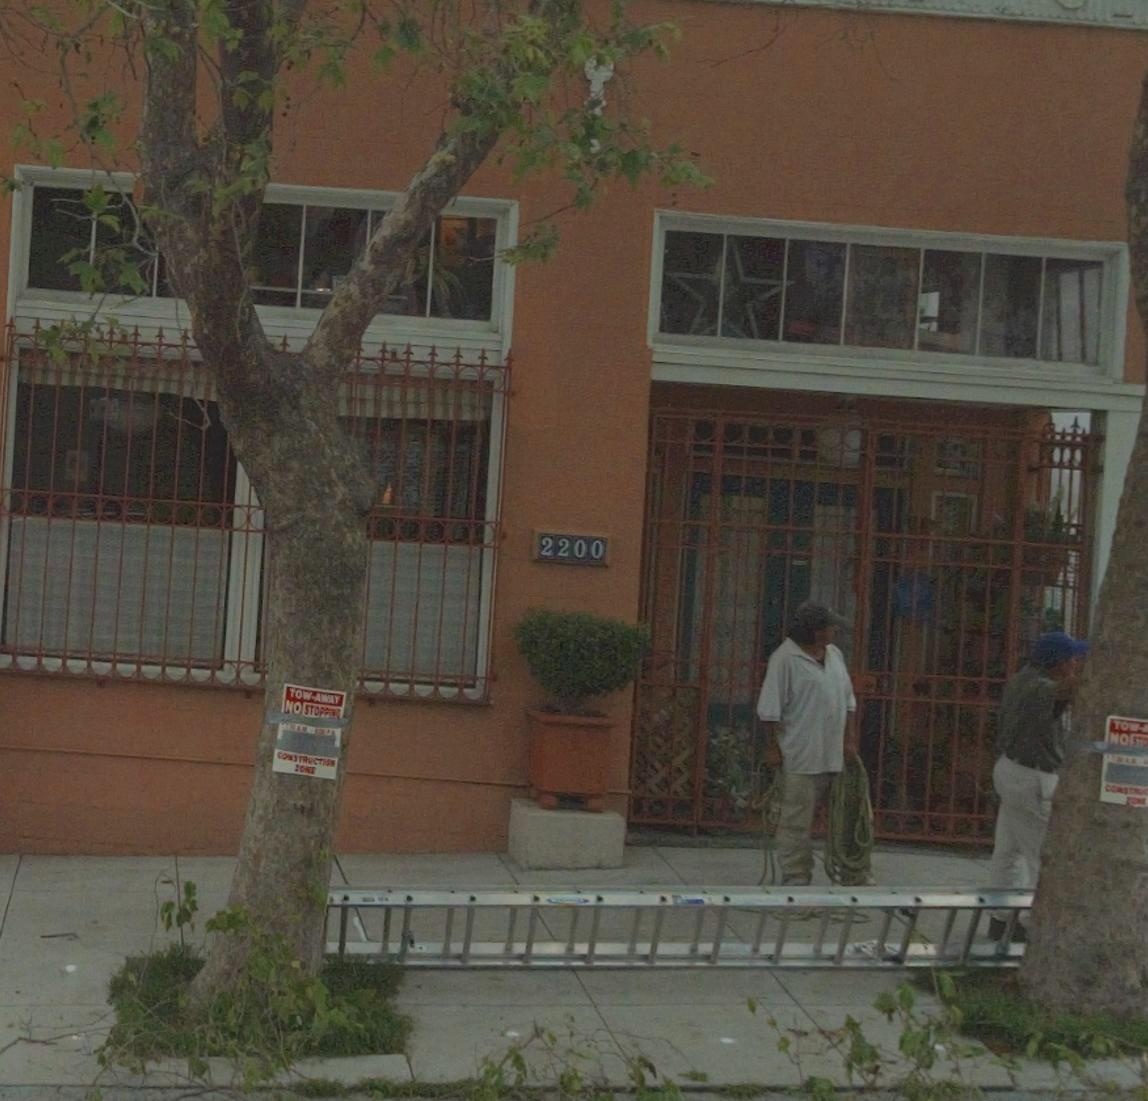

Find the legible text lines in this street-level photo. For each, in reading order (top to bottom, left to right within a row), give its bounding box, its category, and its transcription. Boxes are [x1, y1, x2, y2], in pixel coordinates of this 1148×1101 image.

[539, 534, 605, 560] StreetNumber: 2200
[288, 686, 343, 705] None: TOW-AWAY
[282, 698, 342, 720] None: NO STOPPING
[1113, 719, 1141, 734] None: TOW
[1108, 731, 1131, 747] None: NO
[274, 750, 337, 768] None: CONSTRUCTION
[293, 763, 316, 776] None: ZONE
[1104, 782, 1144, 796] None: CONSTRU
[1125, 795, 1147, 807] None: ZONE